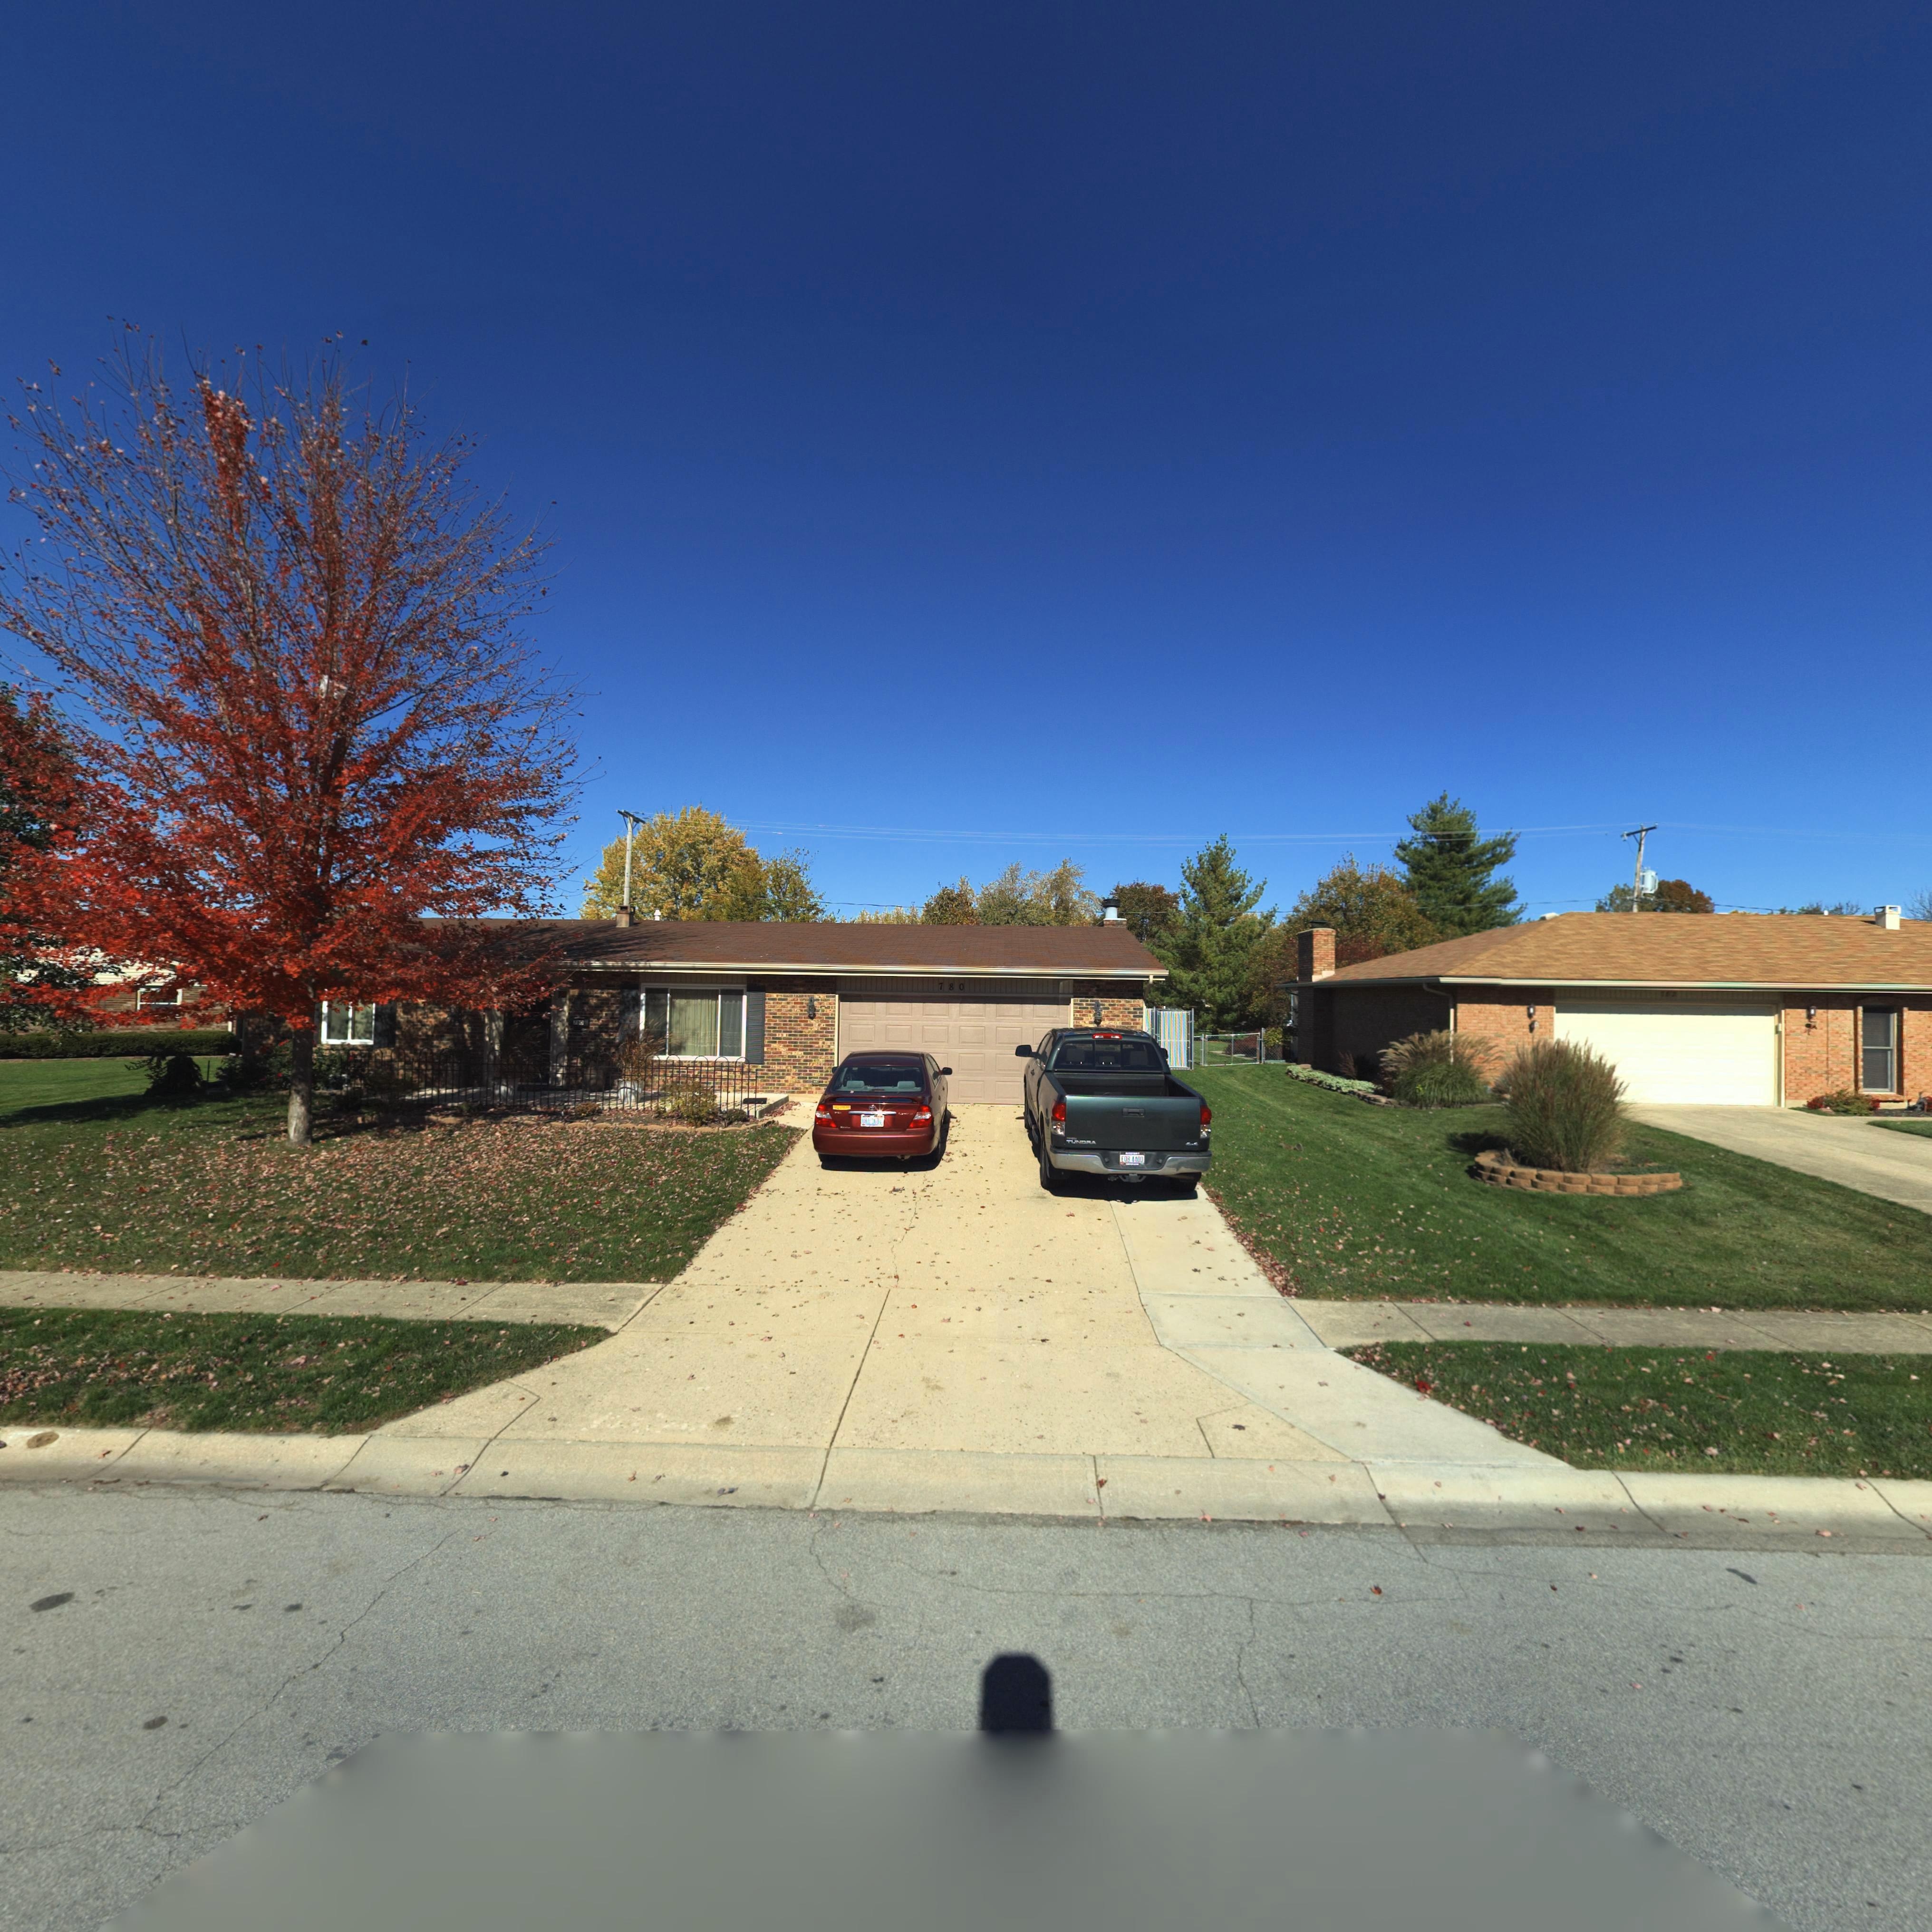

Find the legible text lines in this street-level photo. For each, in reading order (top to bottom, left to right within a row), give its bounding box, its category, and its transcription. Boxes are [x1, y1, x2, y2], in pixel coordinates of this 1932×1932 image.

[938, 982, 964, 991] StreetNumber: 780
[1660, 990, 1678, 998] StreetNumber: 782